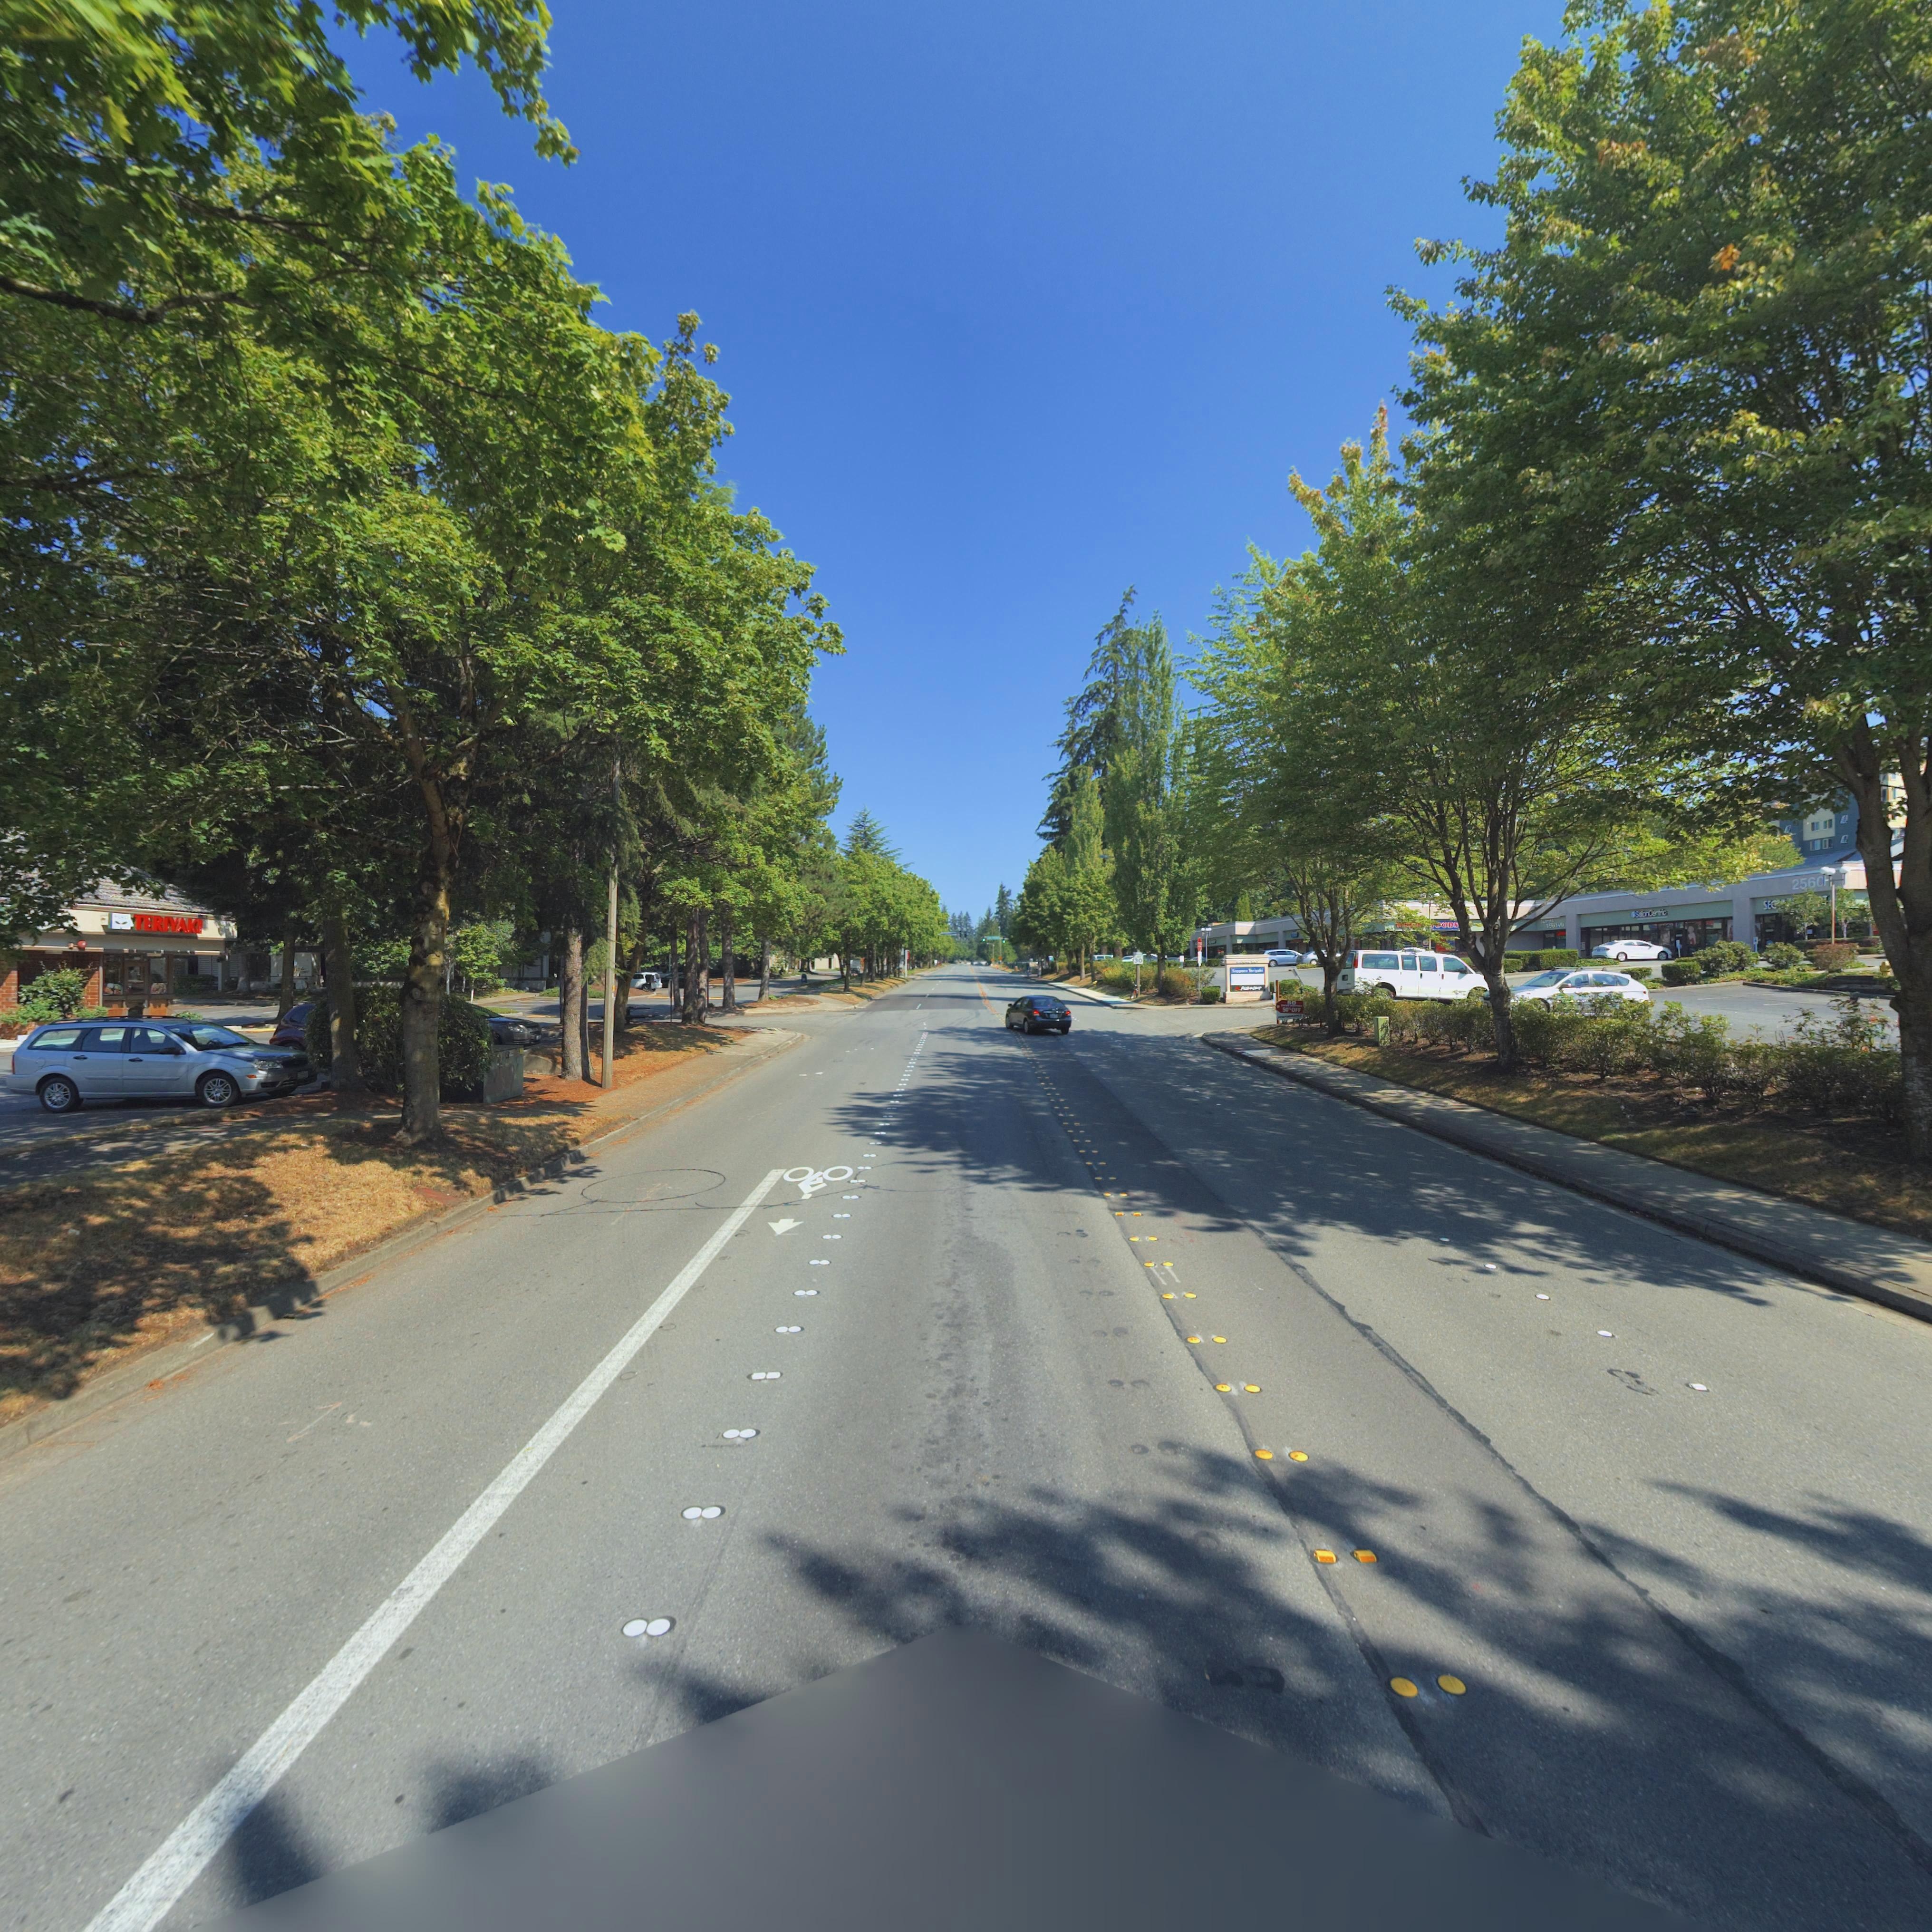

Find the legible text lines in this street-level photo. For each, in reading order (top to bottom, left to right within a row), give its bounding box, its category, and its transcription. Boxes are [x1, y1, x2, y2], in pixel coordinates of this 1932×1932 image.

[1791, 875, 1824, 890] StreetNumber: 2560
[1763, 899, 1772, 909] BusinessName: SE
[133, 914, 203, 934] BusinessName: TERIYAKI
[1442, 922, 1453, 928] BusinessName: OD